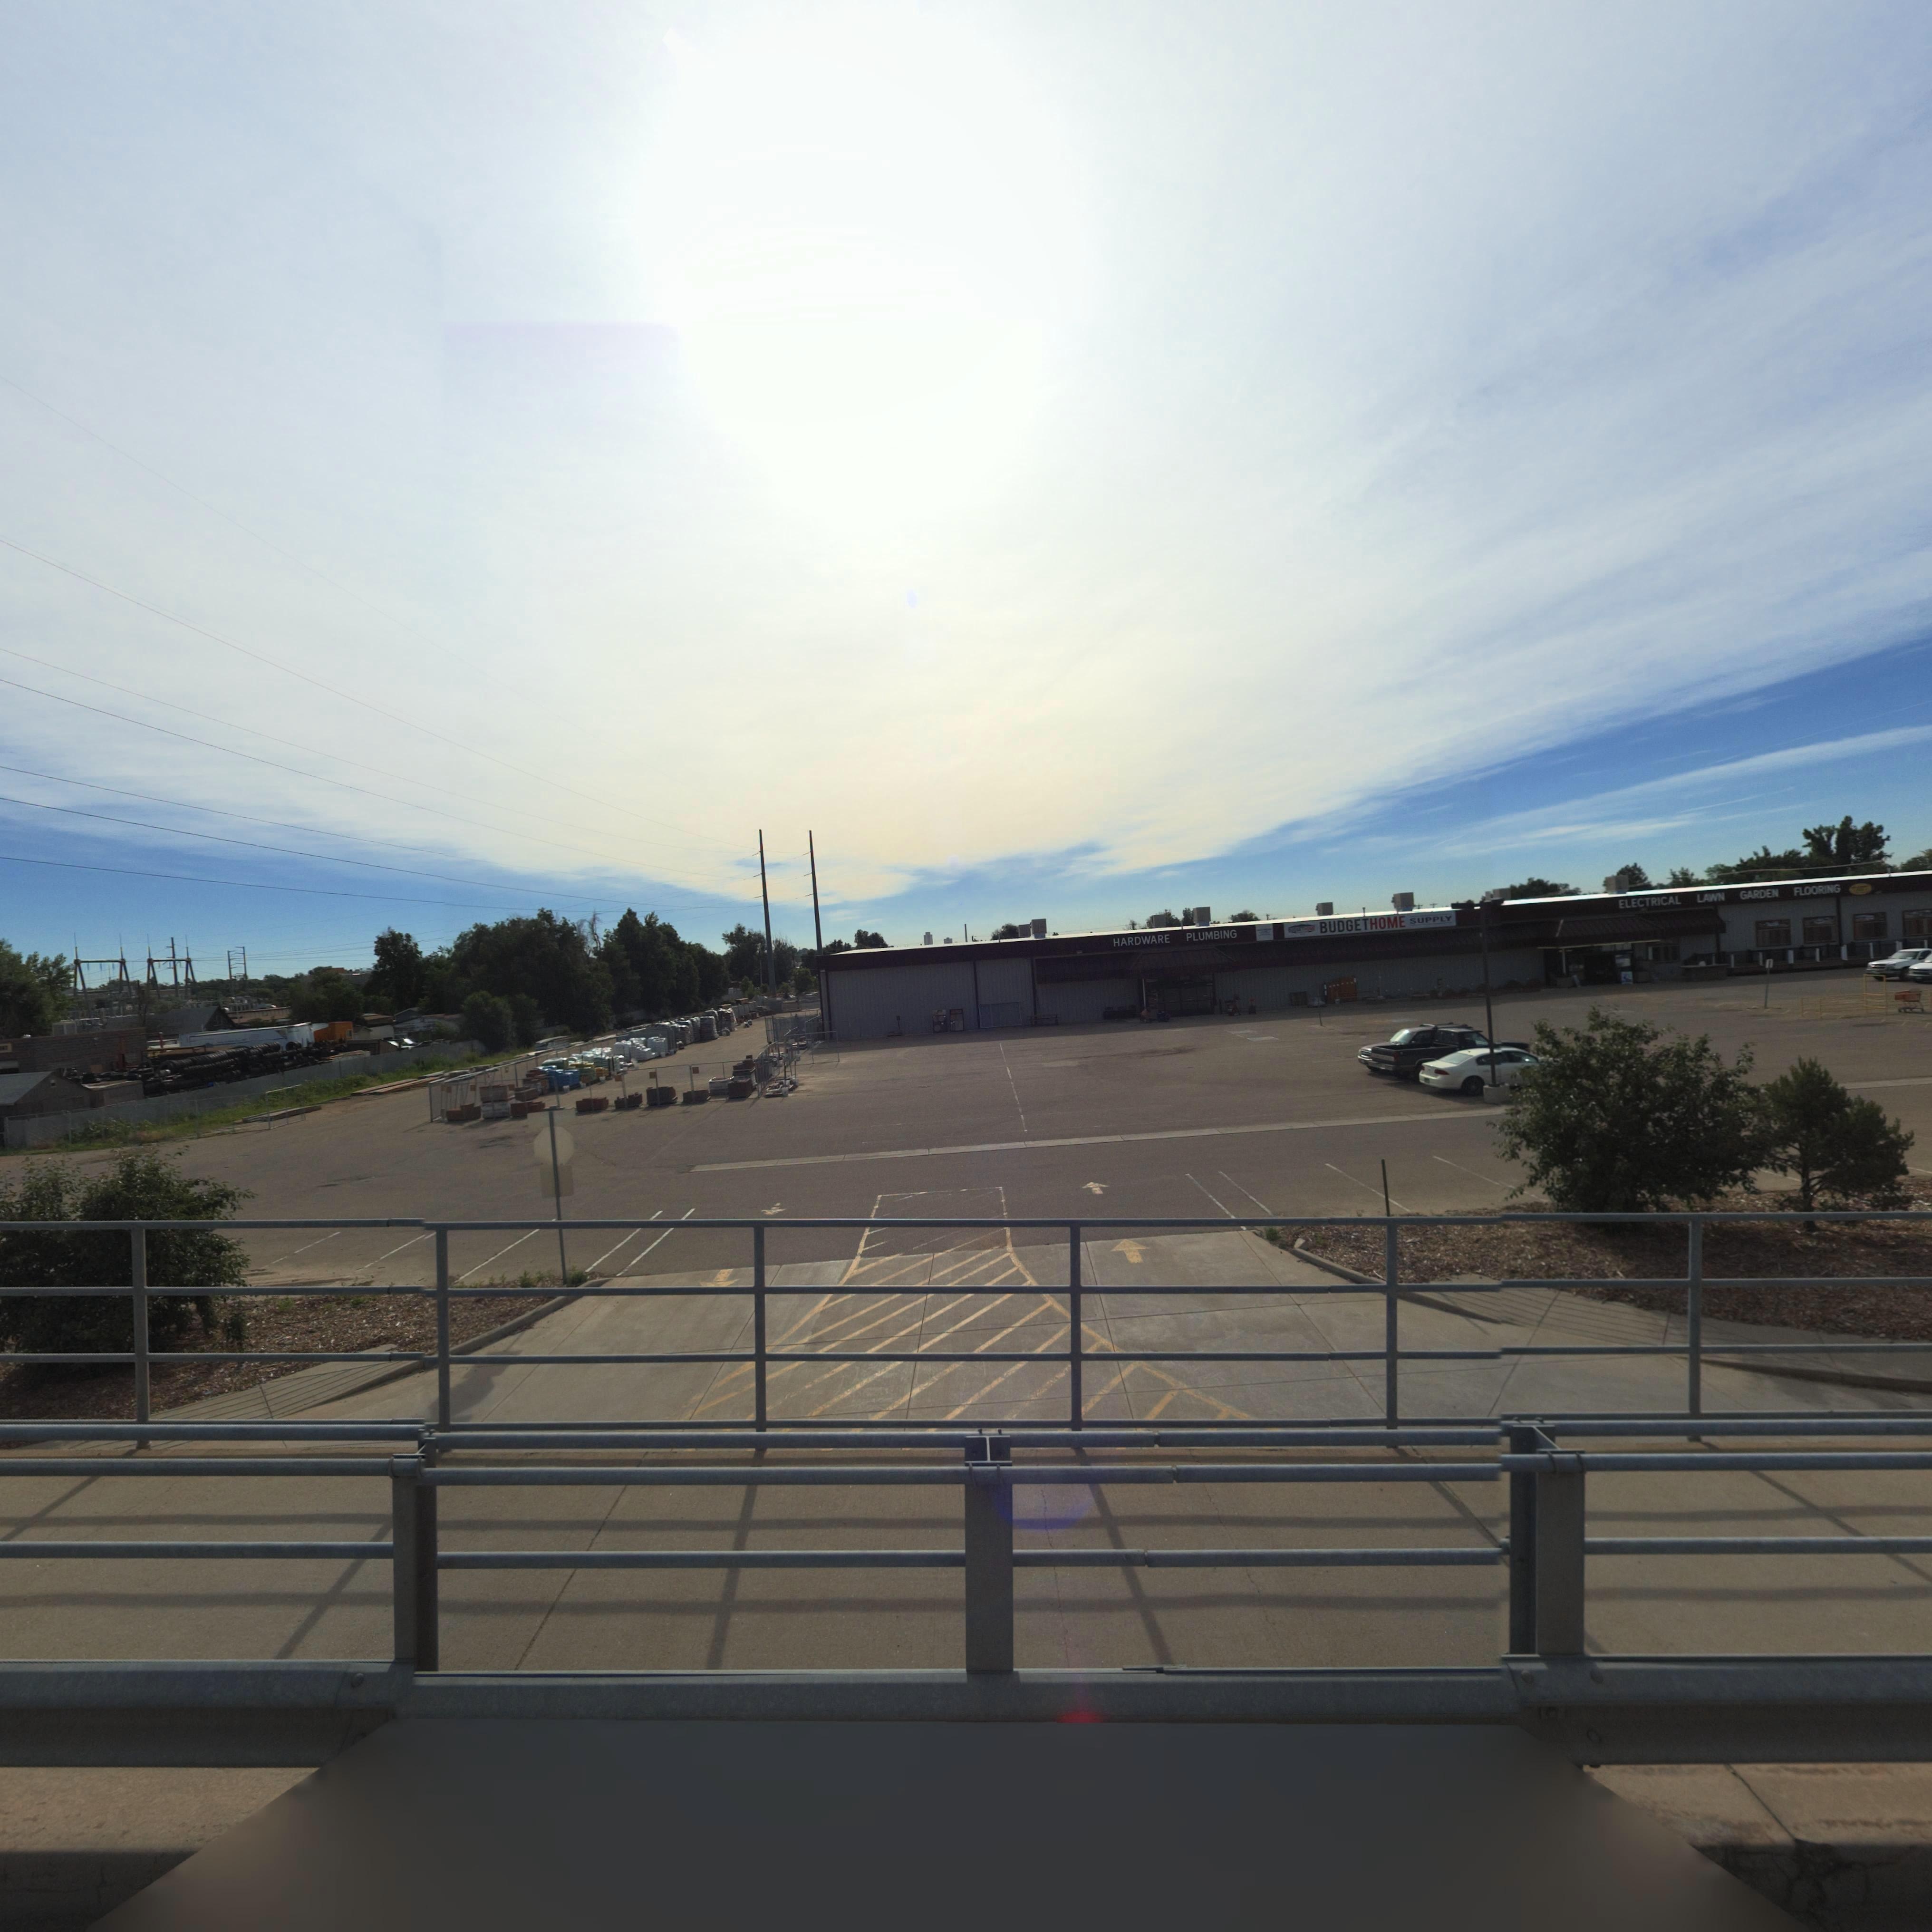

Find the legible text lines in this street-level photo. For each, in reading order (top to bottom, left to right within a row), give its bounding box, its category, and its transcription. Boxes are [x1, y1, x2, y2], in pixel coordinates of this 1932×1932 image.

[1318, 915, 1407, 934] BusinessName: BUDGETHOME
[1409, 915, 1452, 924] BusinessName: SUPPLY